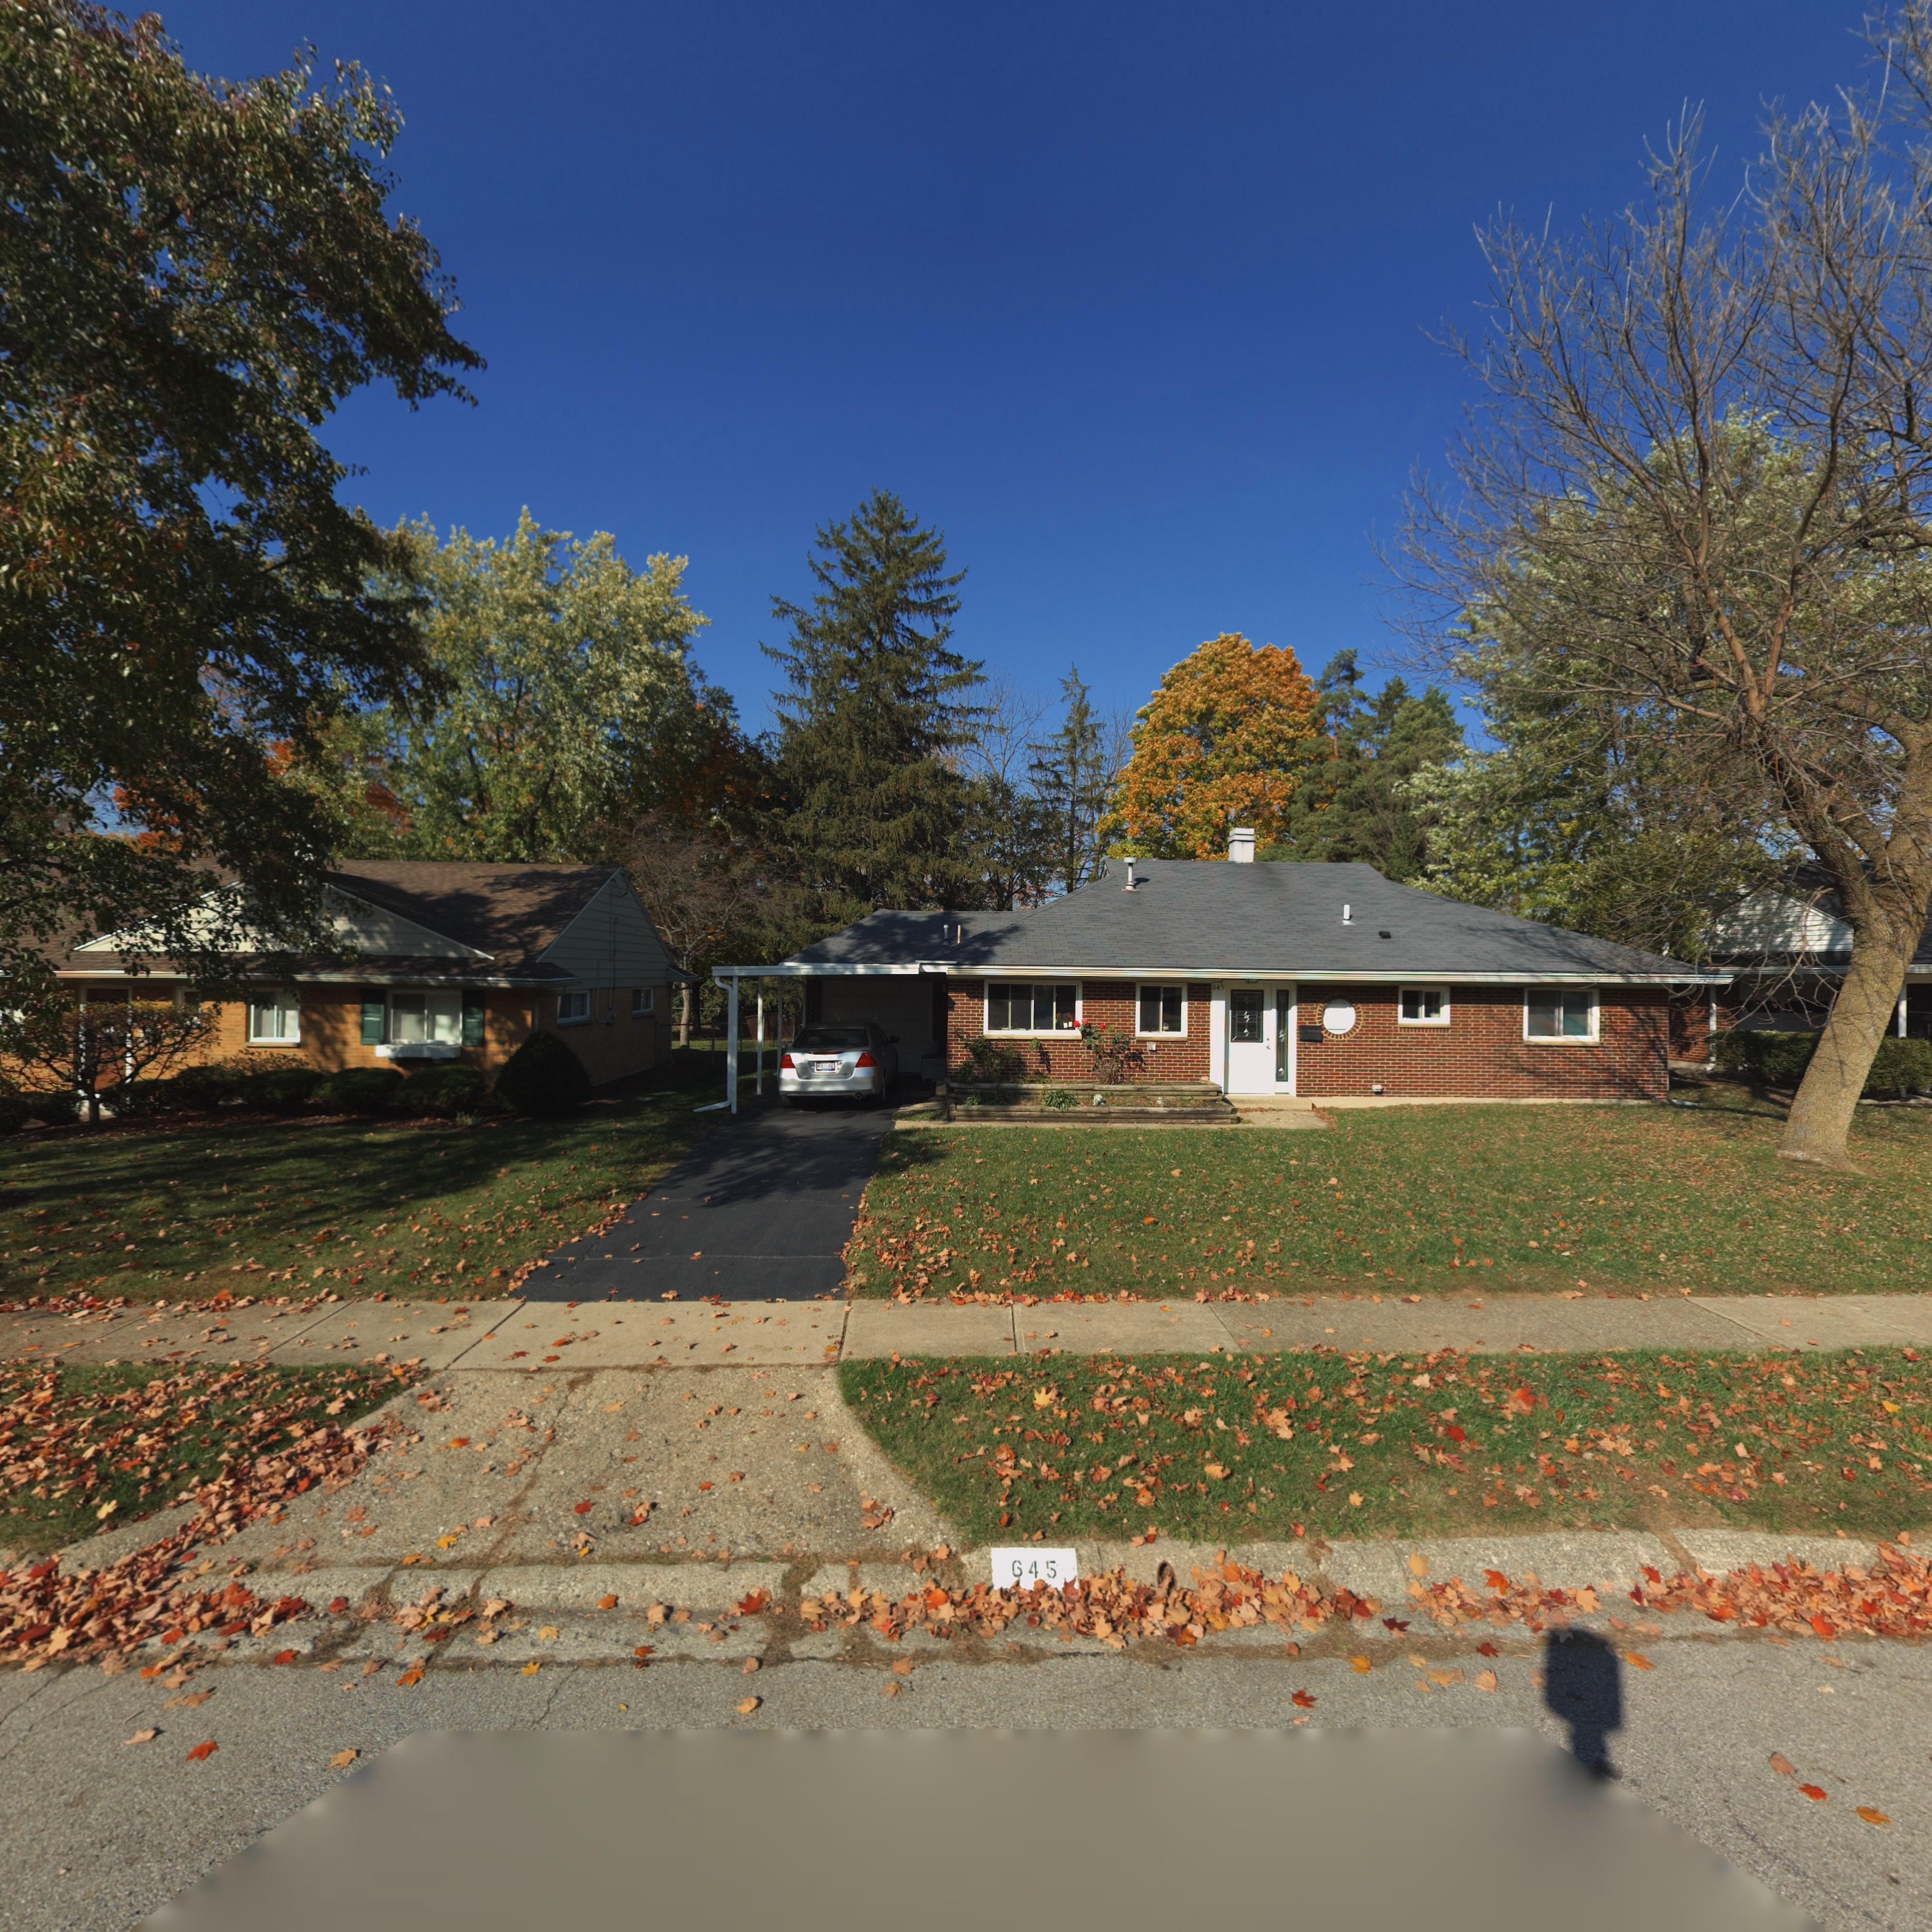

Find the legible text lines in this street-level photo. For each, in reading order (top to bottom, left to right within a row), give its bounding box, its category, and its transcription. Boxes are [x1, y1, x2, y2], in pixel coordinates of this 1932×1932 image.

[1212, 983, 1225, 991] StreetNumber: 645
[1011, 1558, 1058, 1580] StreetNumber: 645